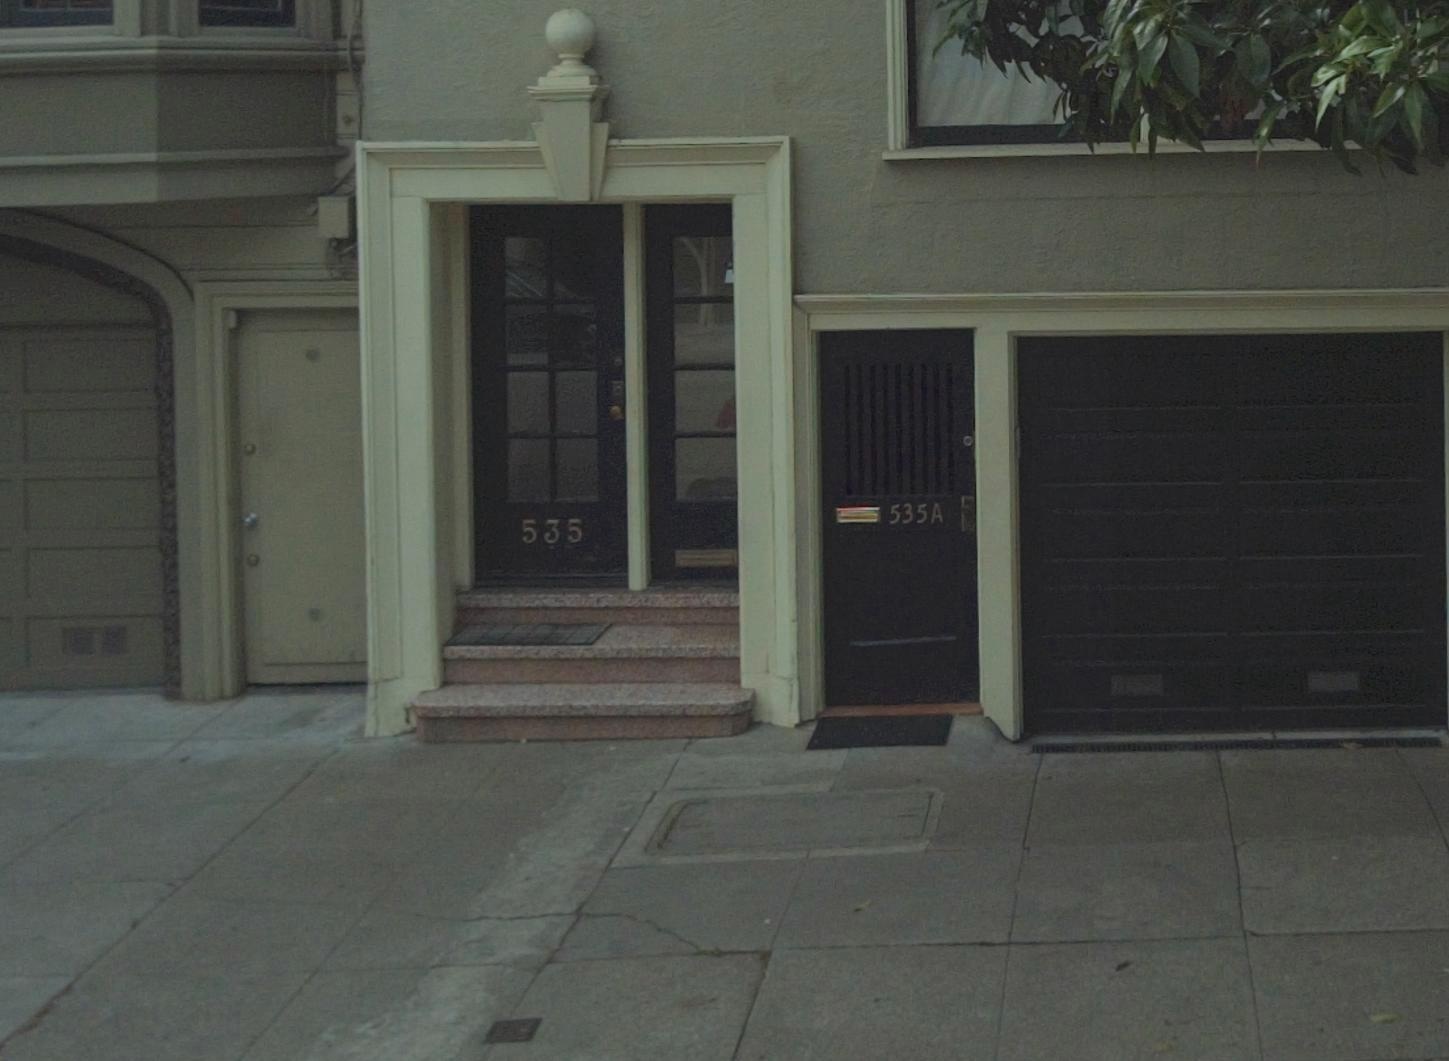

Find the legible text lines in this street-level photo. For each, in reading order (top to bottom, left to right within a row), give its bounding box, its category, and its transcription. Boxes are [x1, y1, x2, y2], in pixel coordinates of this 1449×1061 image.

[888, 502, 944, 525] StreetNumber: 535A
[520, 517, 585, 545] StreetNumber: 535